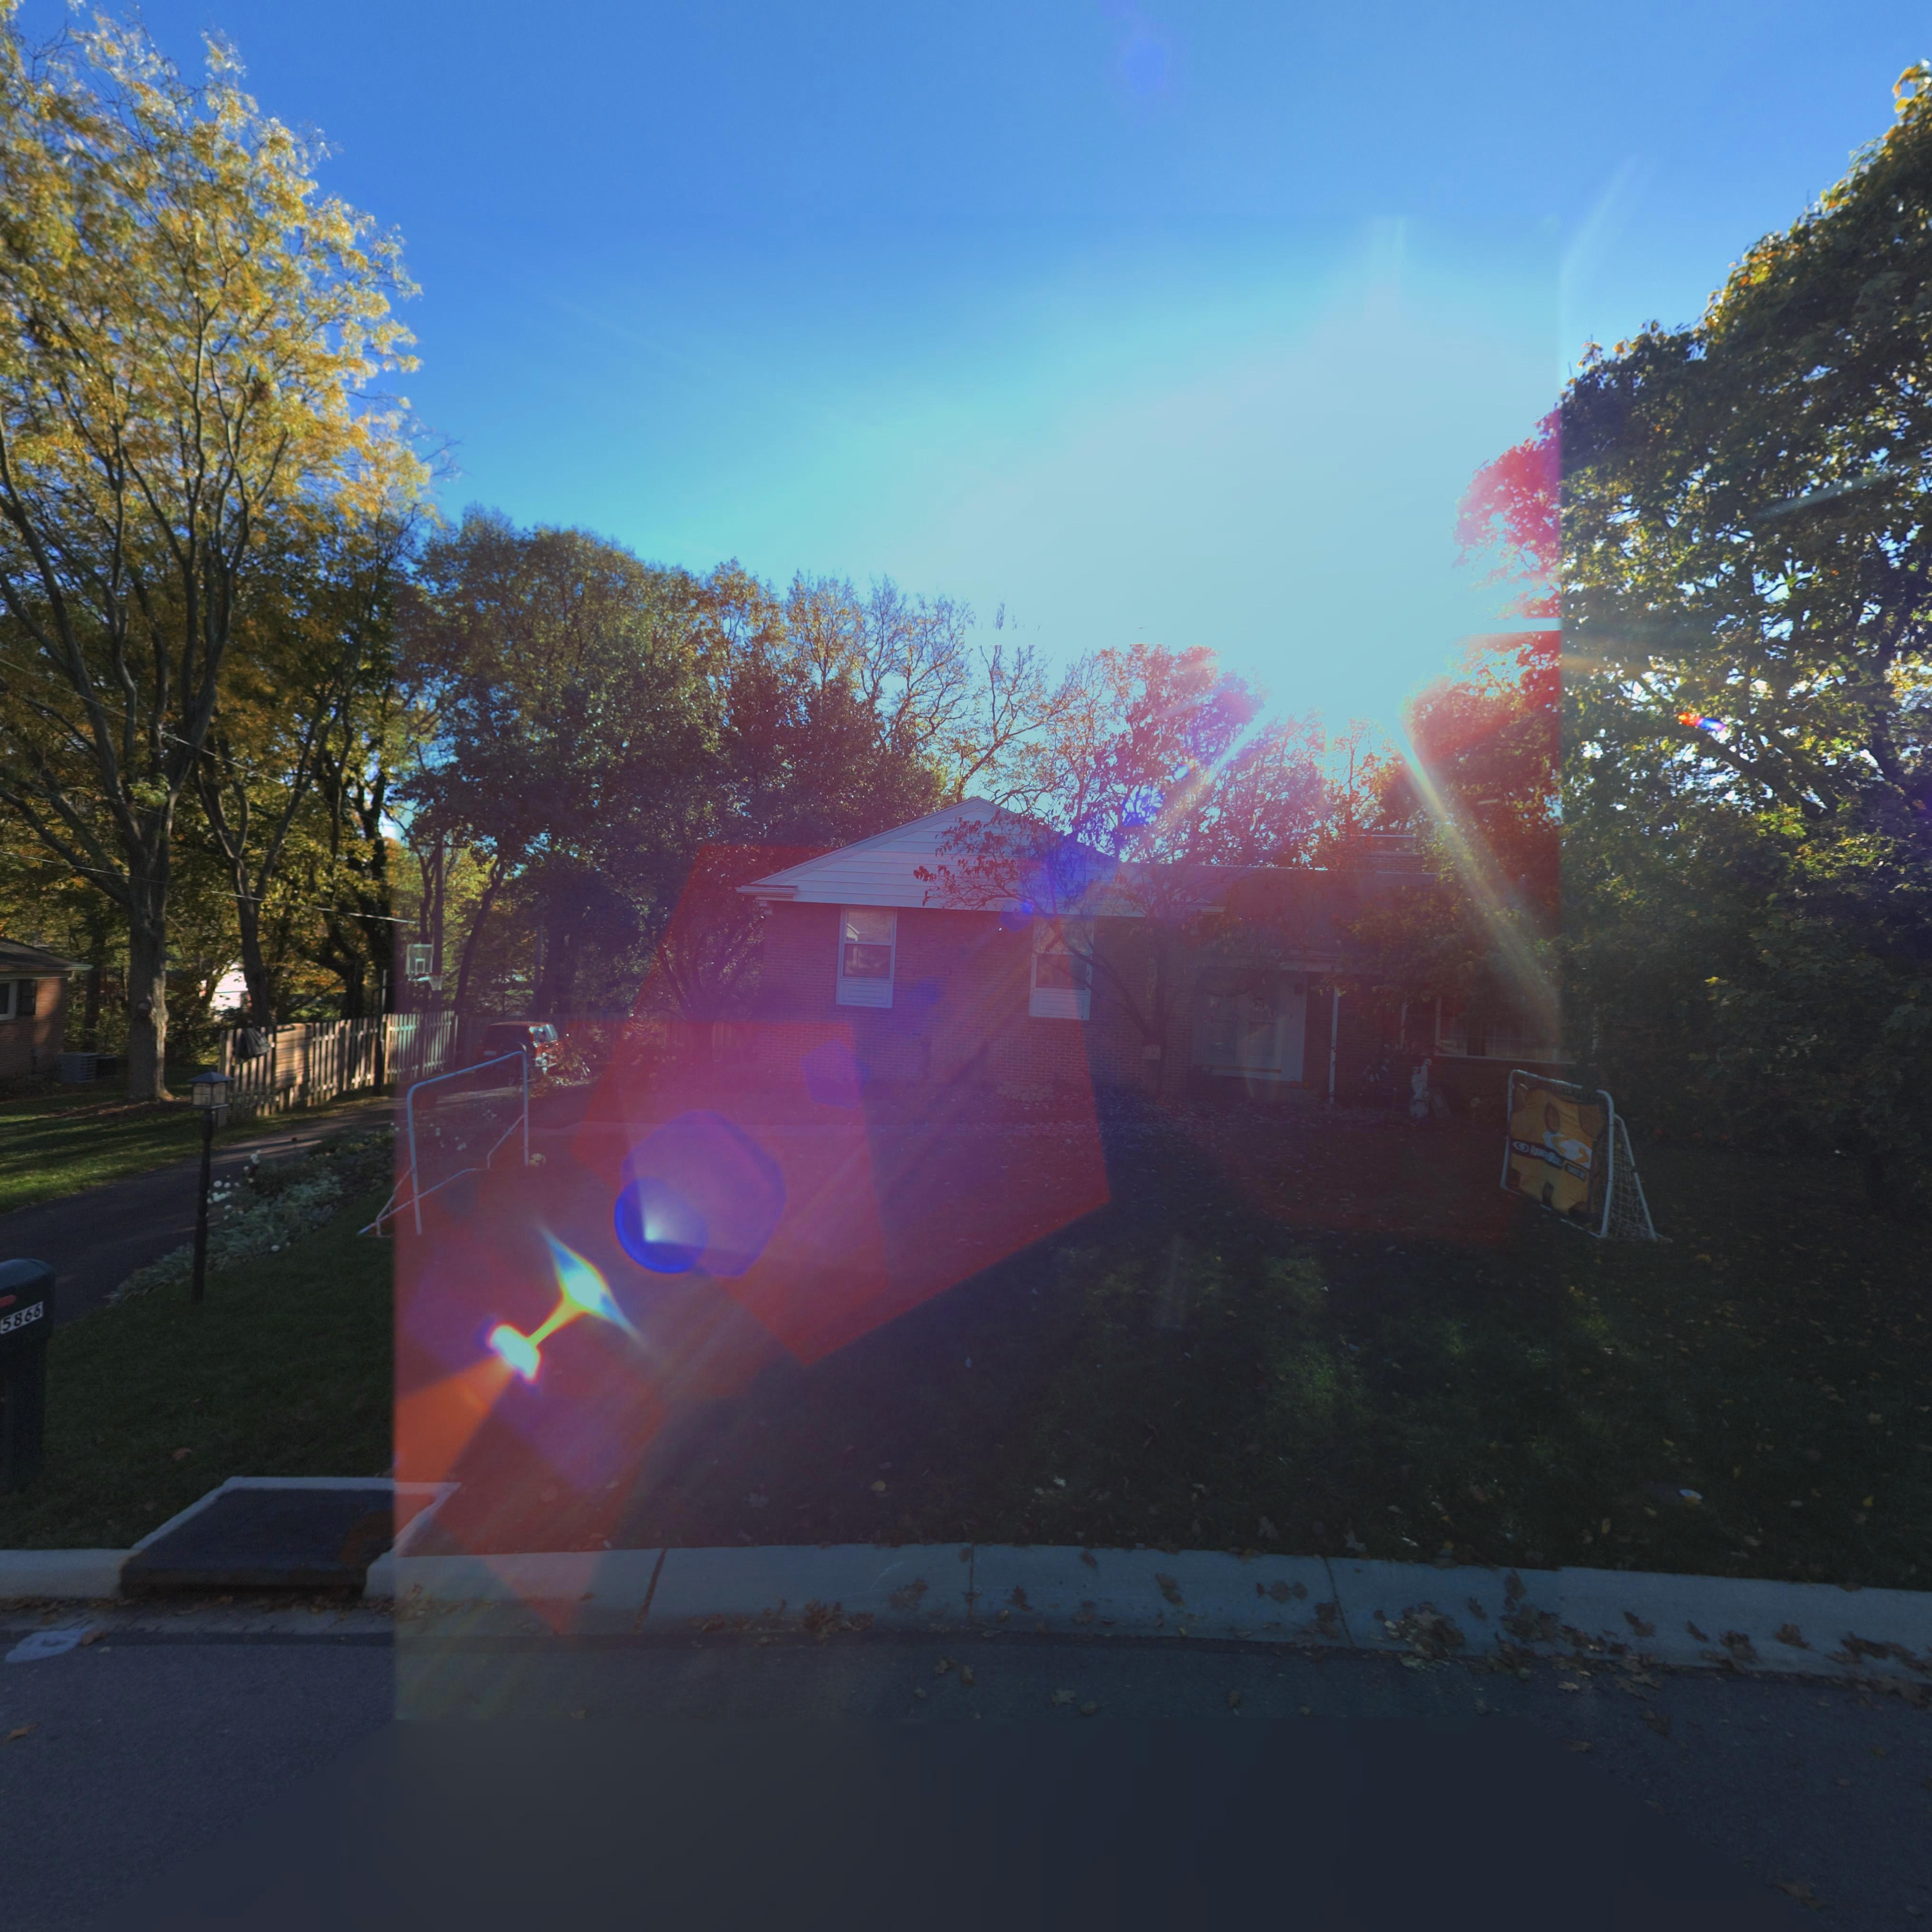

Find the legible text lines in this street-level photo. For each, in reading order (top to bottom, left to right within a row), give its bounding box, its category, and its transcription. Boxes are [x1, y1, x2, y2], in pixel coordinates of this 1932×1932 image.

[1, 1302, 43, 1333] StreetNumber: 5866